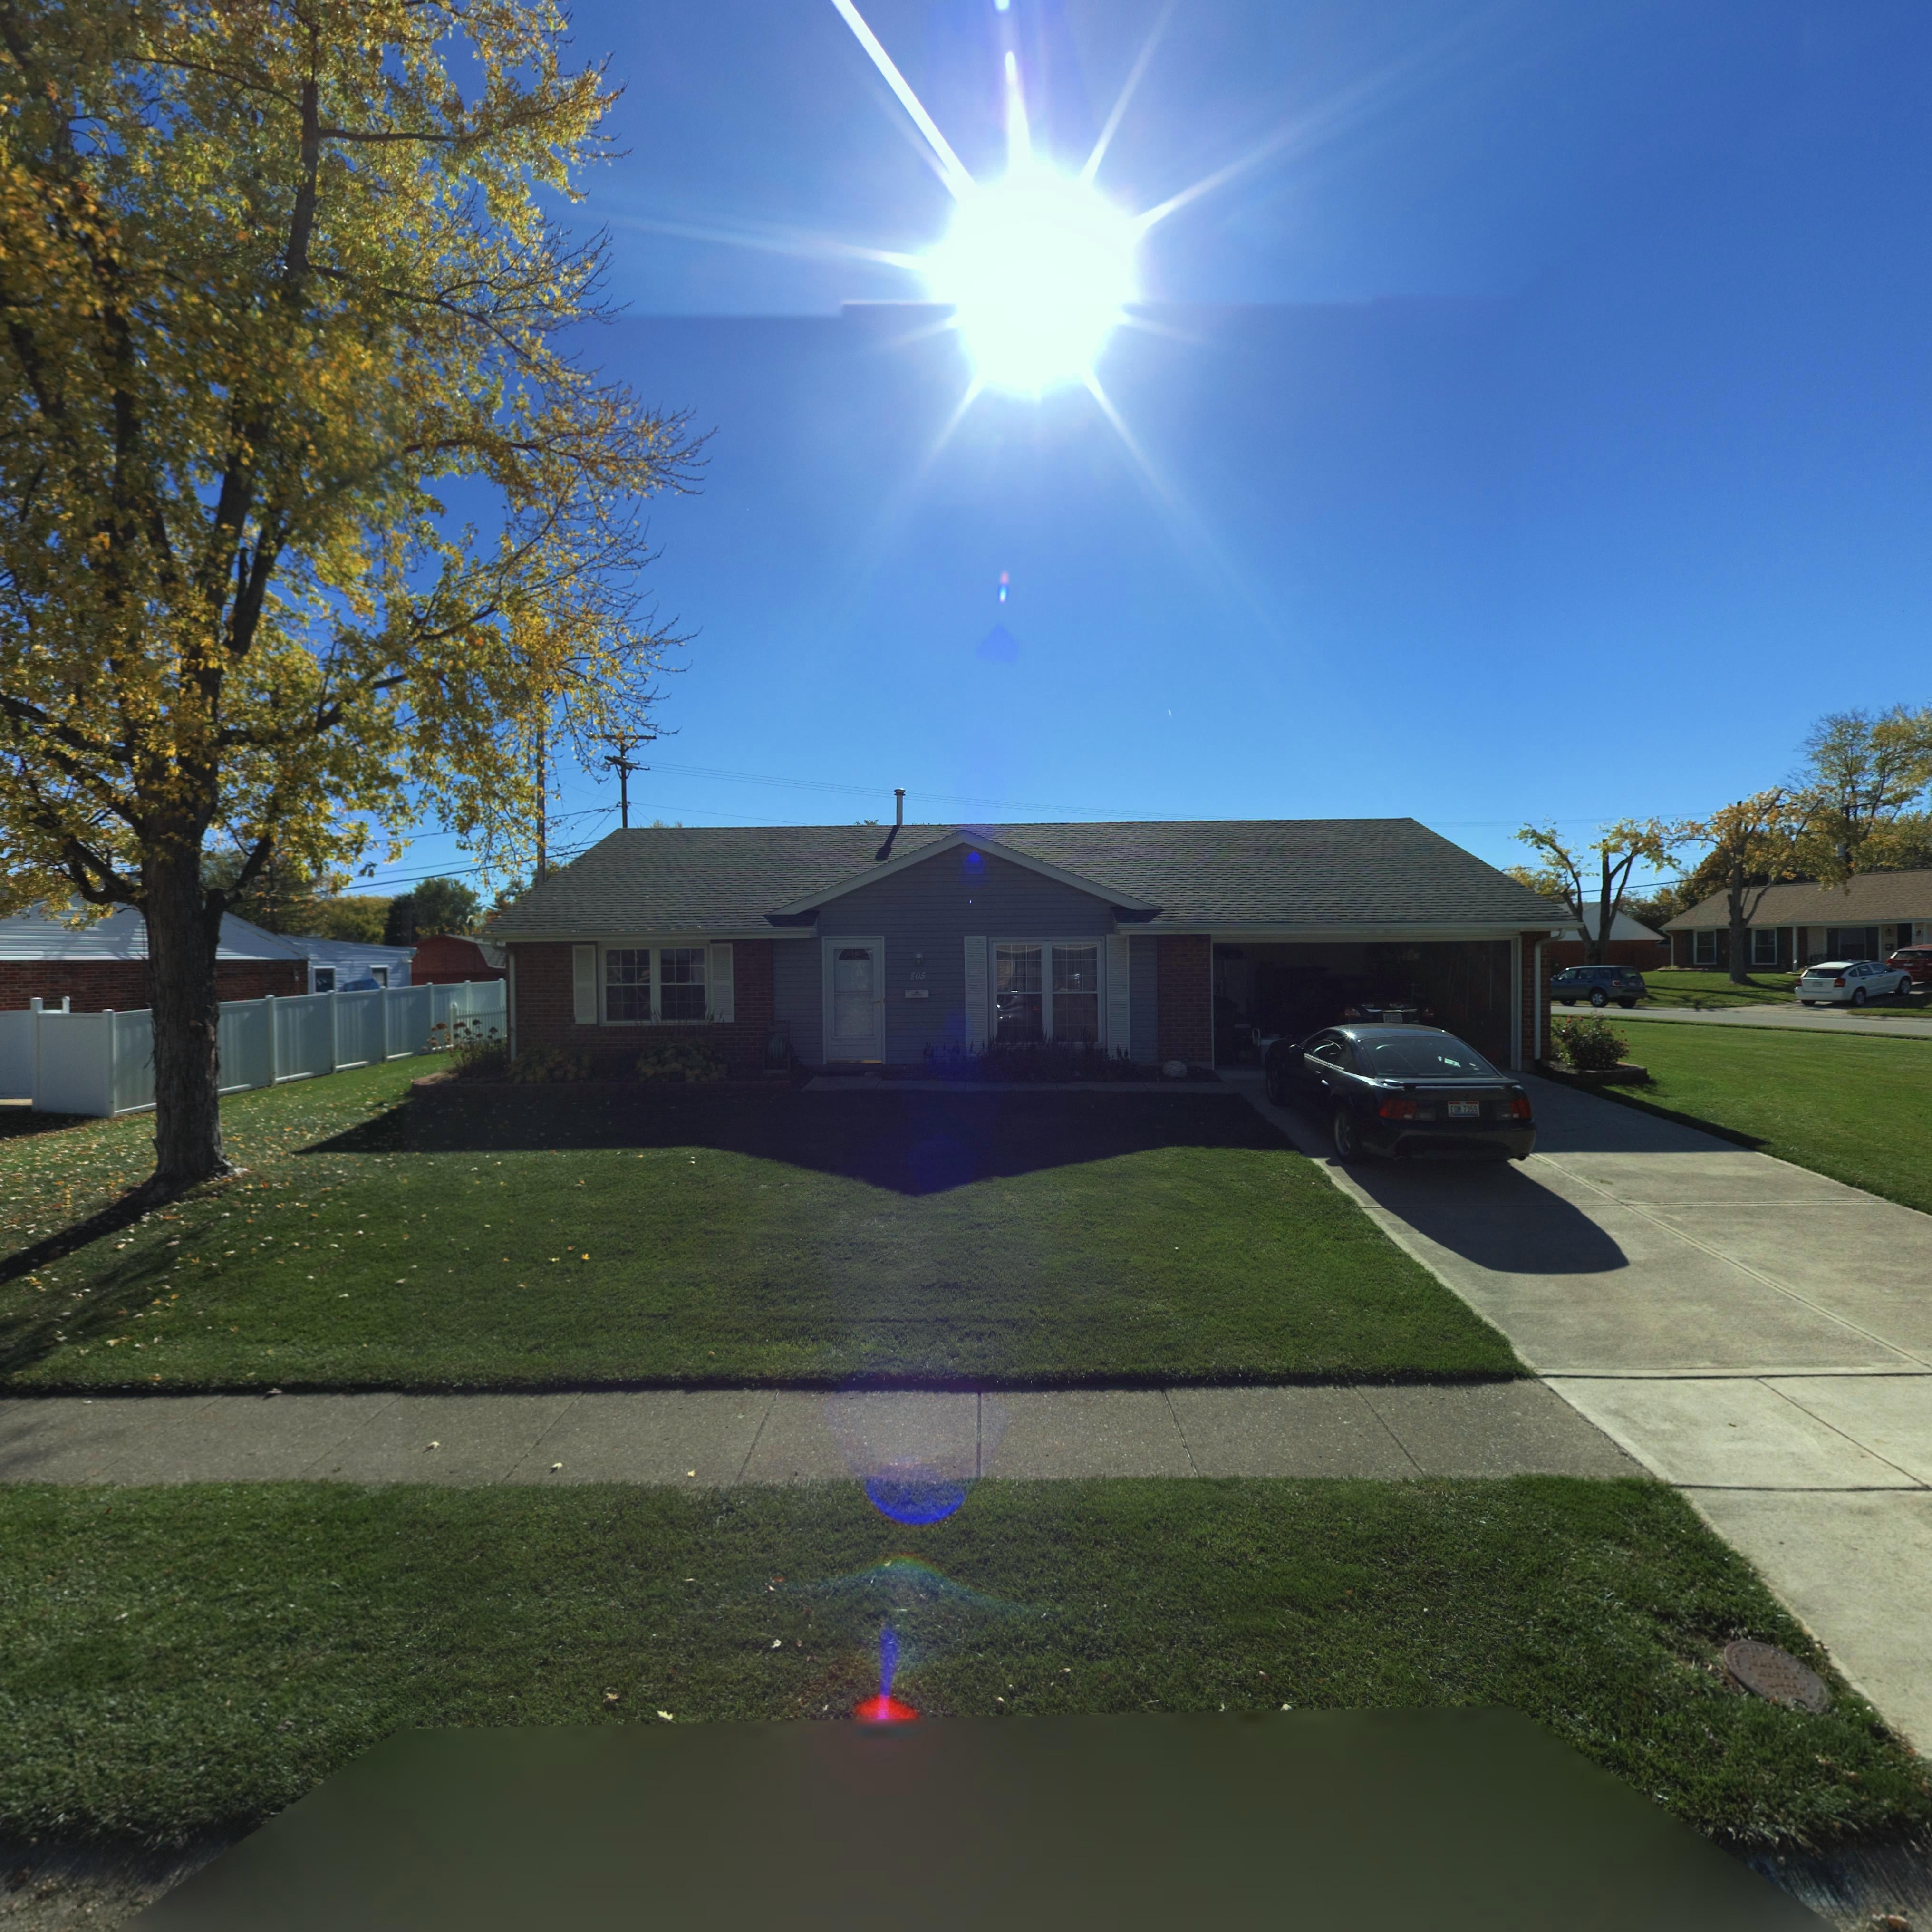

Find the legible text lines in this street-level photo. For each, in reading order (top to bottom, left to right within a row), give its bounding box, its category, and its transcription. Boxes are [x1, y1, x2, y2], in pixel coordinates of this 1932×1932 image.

[910, 971, 926, 981] StreetNumber: 805